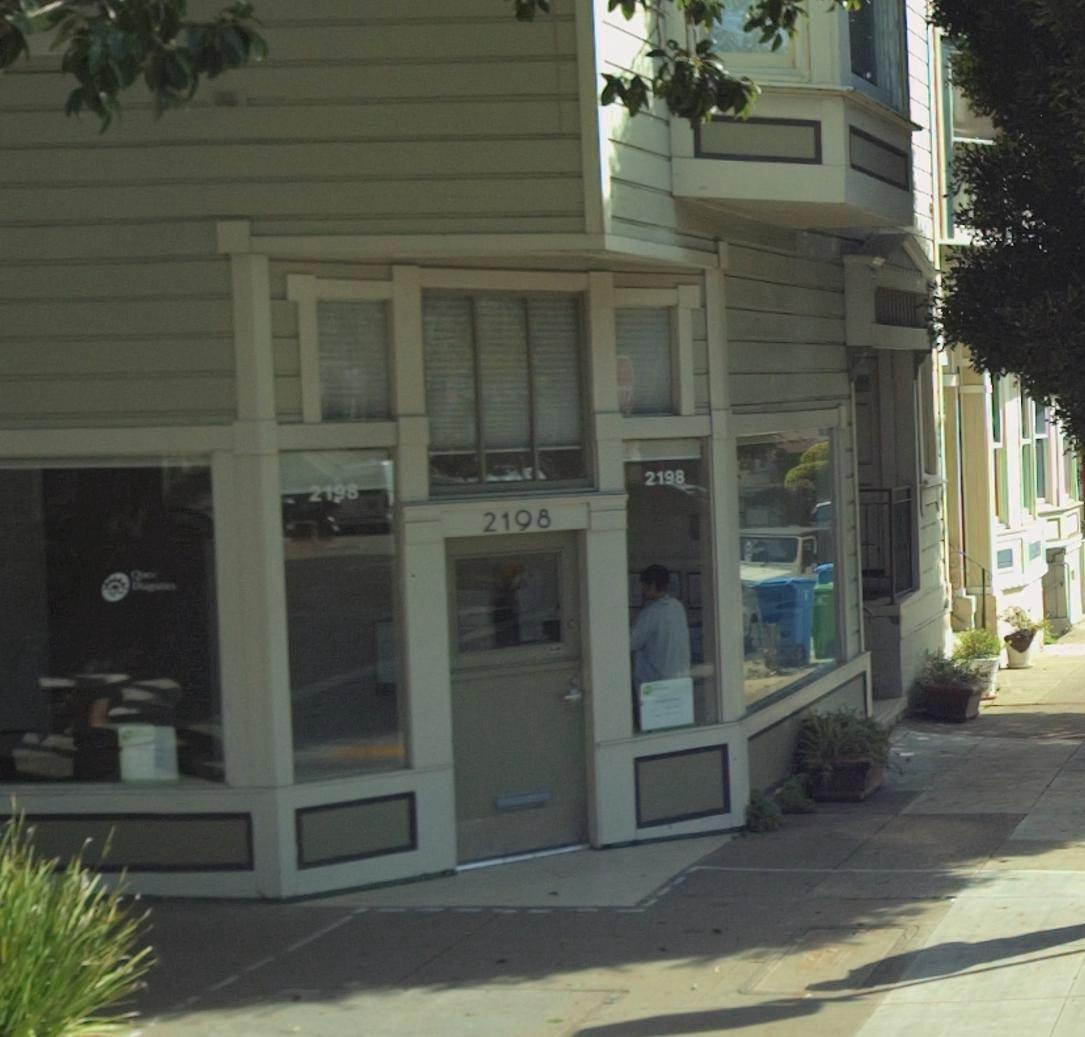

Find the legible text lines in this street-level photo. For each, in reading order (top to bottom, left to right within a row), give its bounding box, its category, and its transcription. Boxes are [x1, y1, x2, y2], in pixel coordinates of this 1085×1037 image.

[644, 468, 687, 488] StreetNumber: 2198
[306, 481, 361, 503] StreetNumber: 2198
[482, 508, 553, 534] StreetNumber: 2198